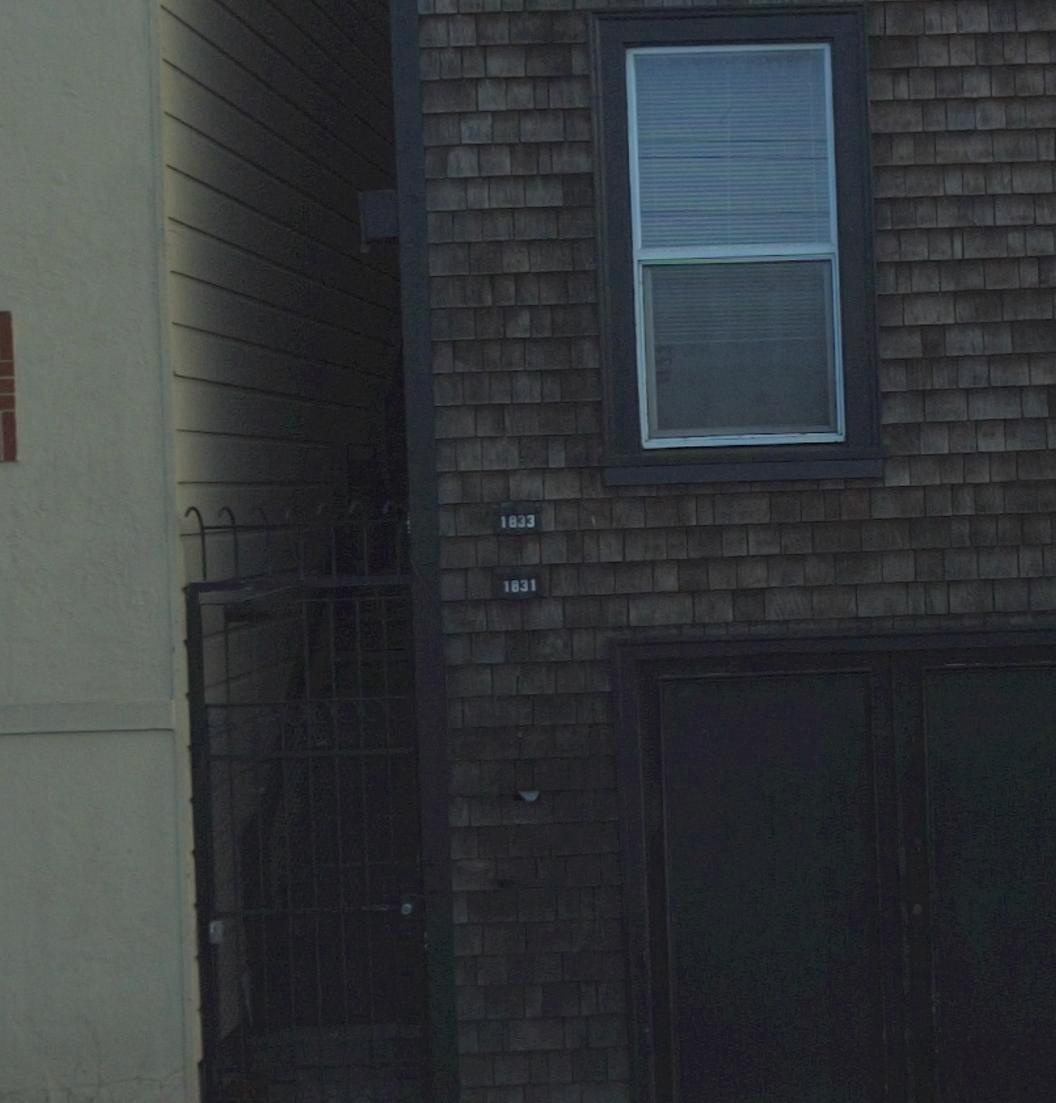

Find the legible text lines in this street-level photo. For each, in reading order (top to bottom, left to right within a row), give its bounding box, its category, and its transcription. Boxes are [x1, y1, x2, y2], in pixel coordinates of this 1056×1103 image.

[498, 512, 538, 531] StreetNumber: 1833
[500, 576, 539, 595] StreetNumber: 1831